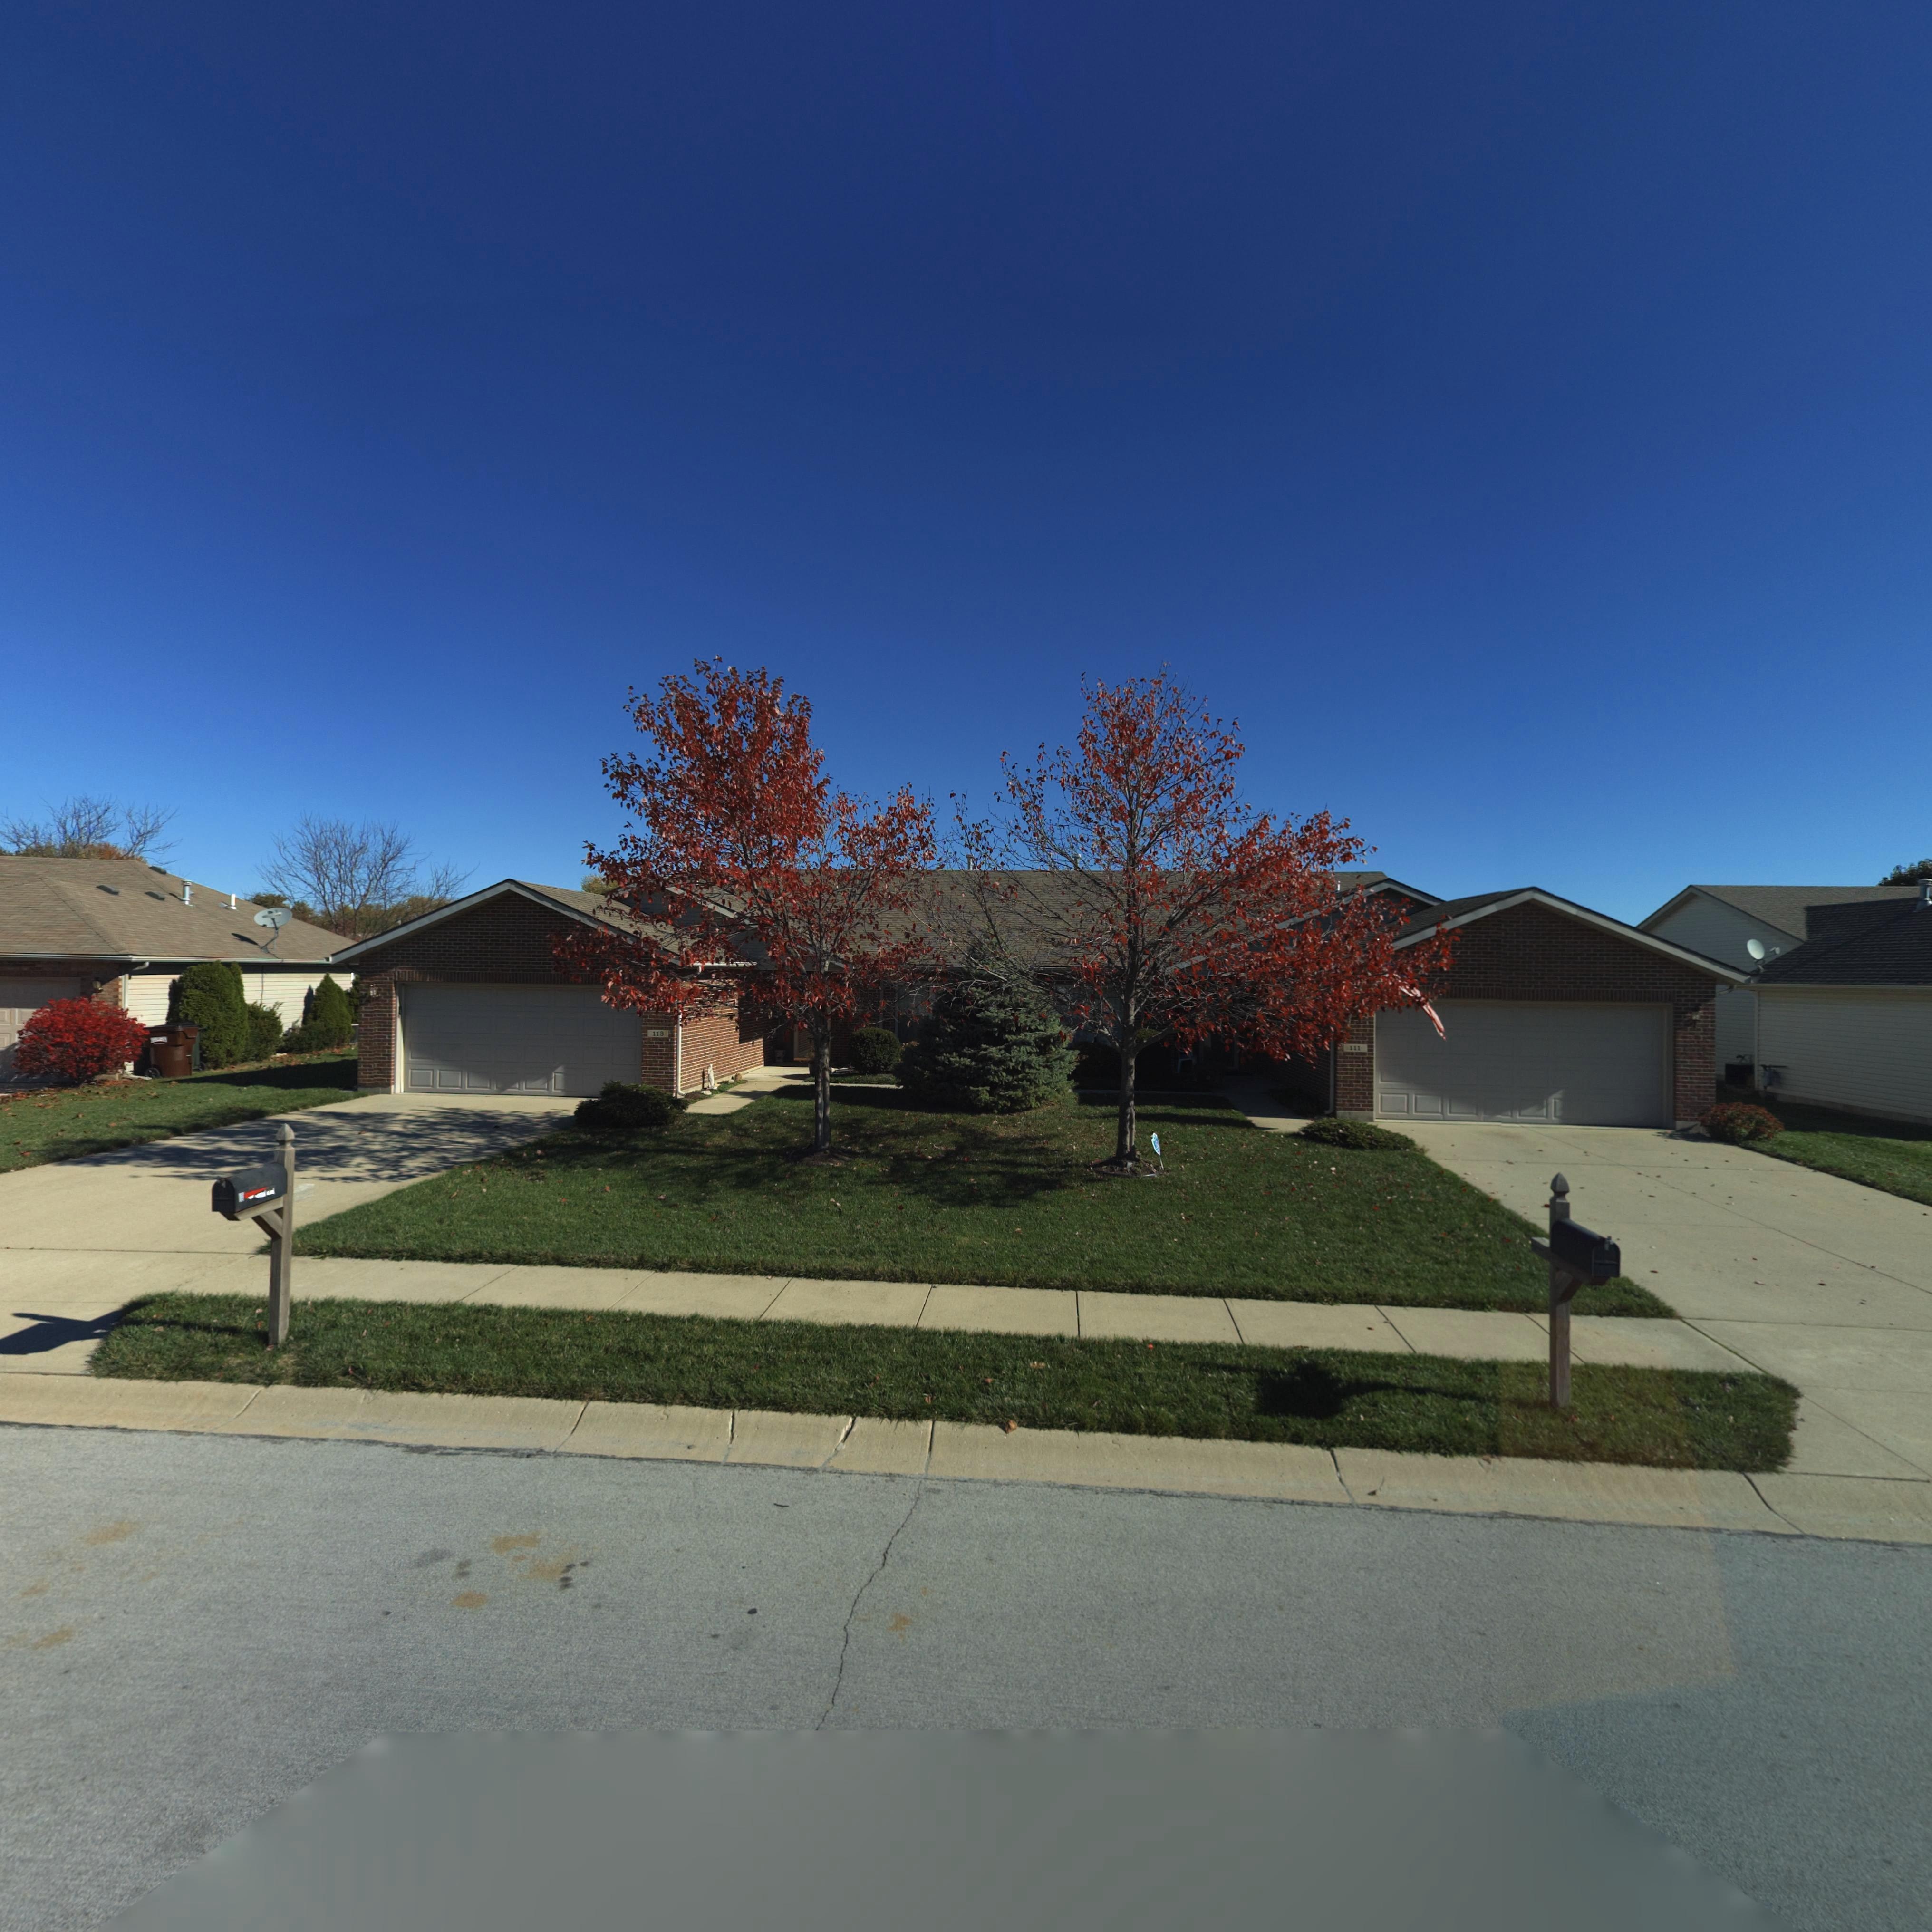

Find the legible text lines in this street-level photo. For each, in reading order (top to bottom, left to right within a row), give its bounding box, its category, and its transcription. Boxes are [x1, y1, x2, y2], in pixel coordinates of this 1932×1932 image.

[652, 1031, 664, 1036] StreetNumber: 113
[1350, 1045, 1361, 1051] StreetNumber: 111